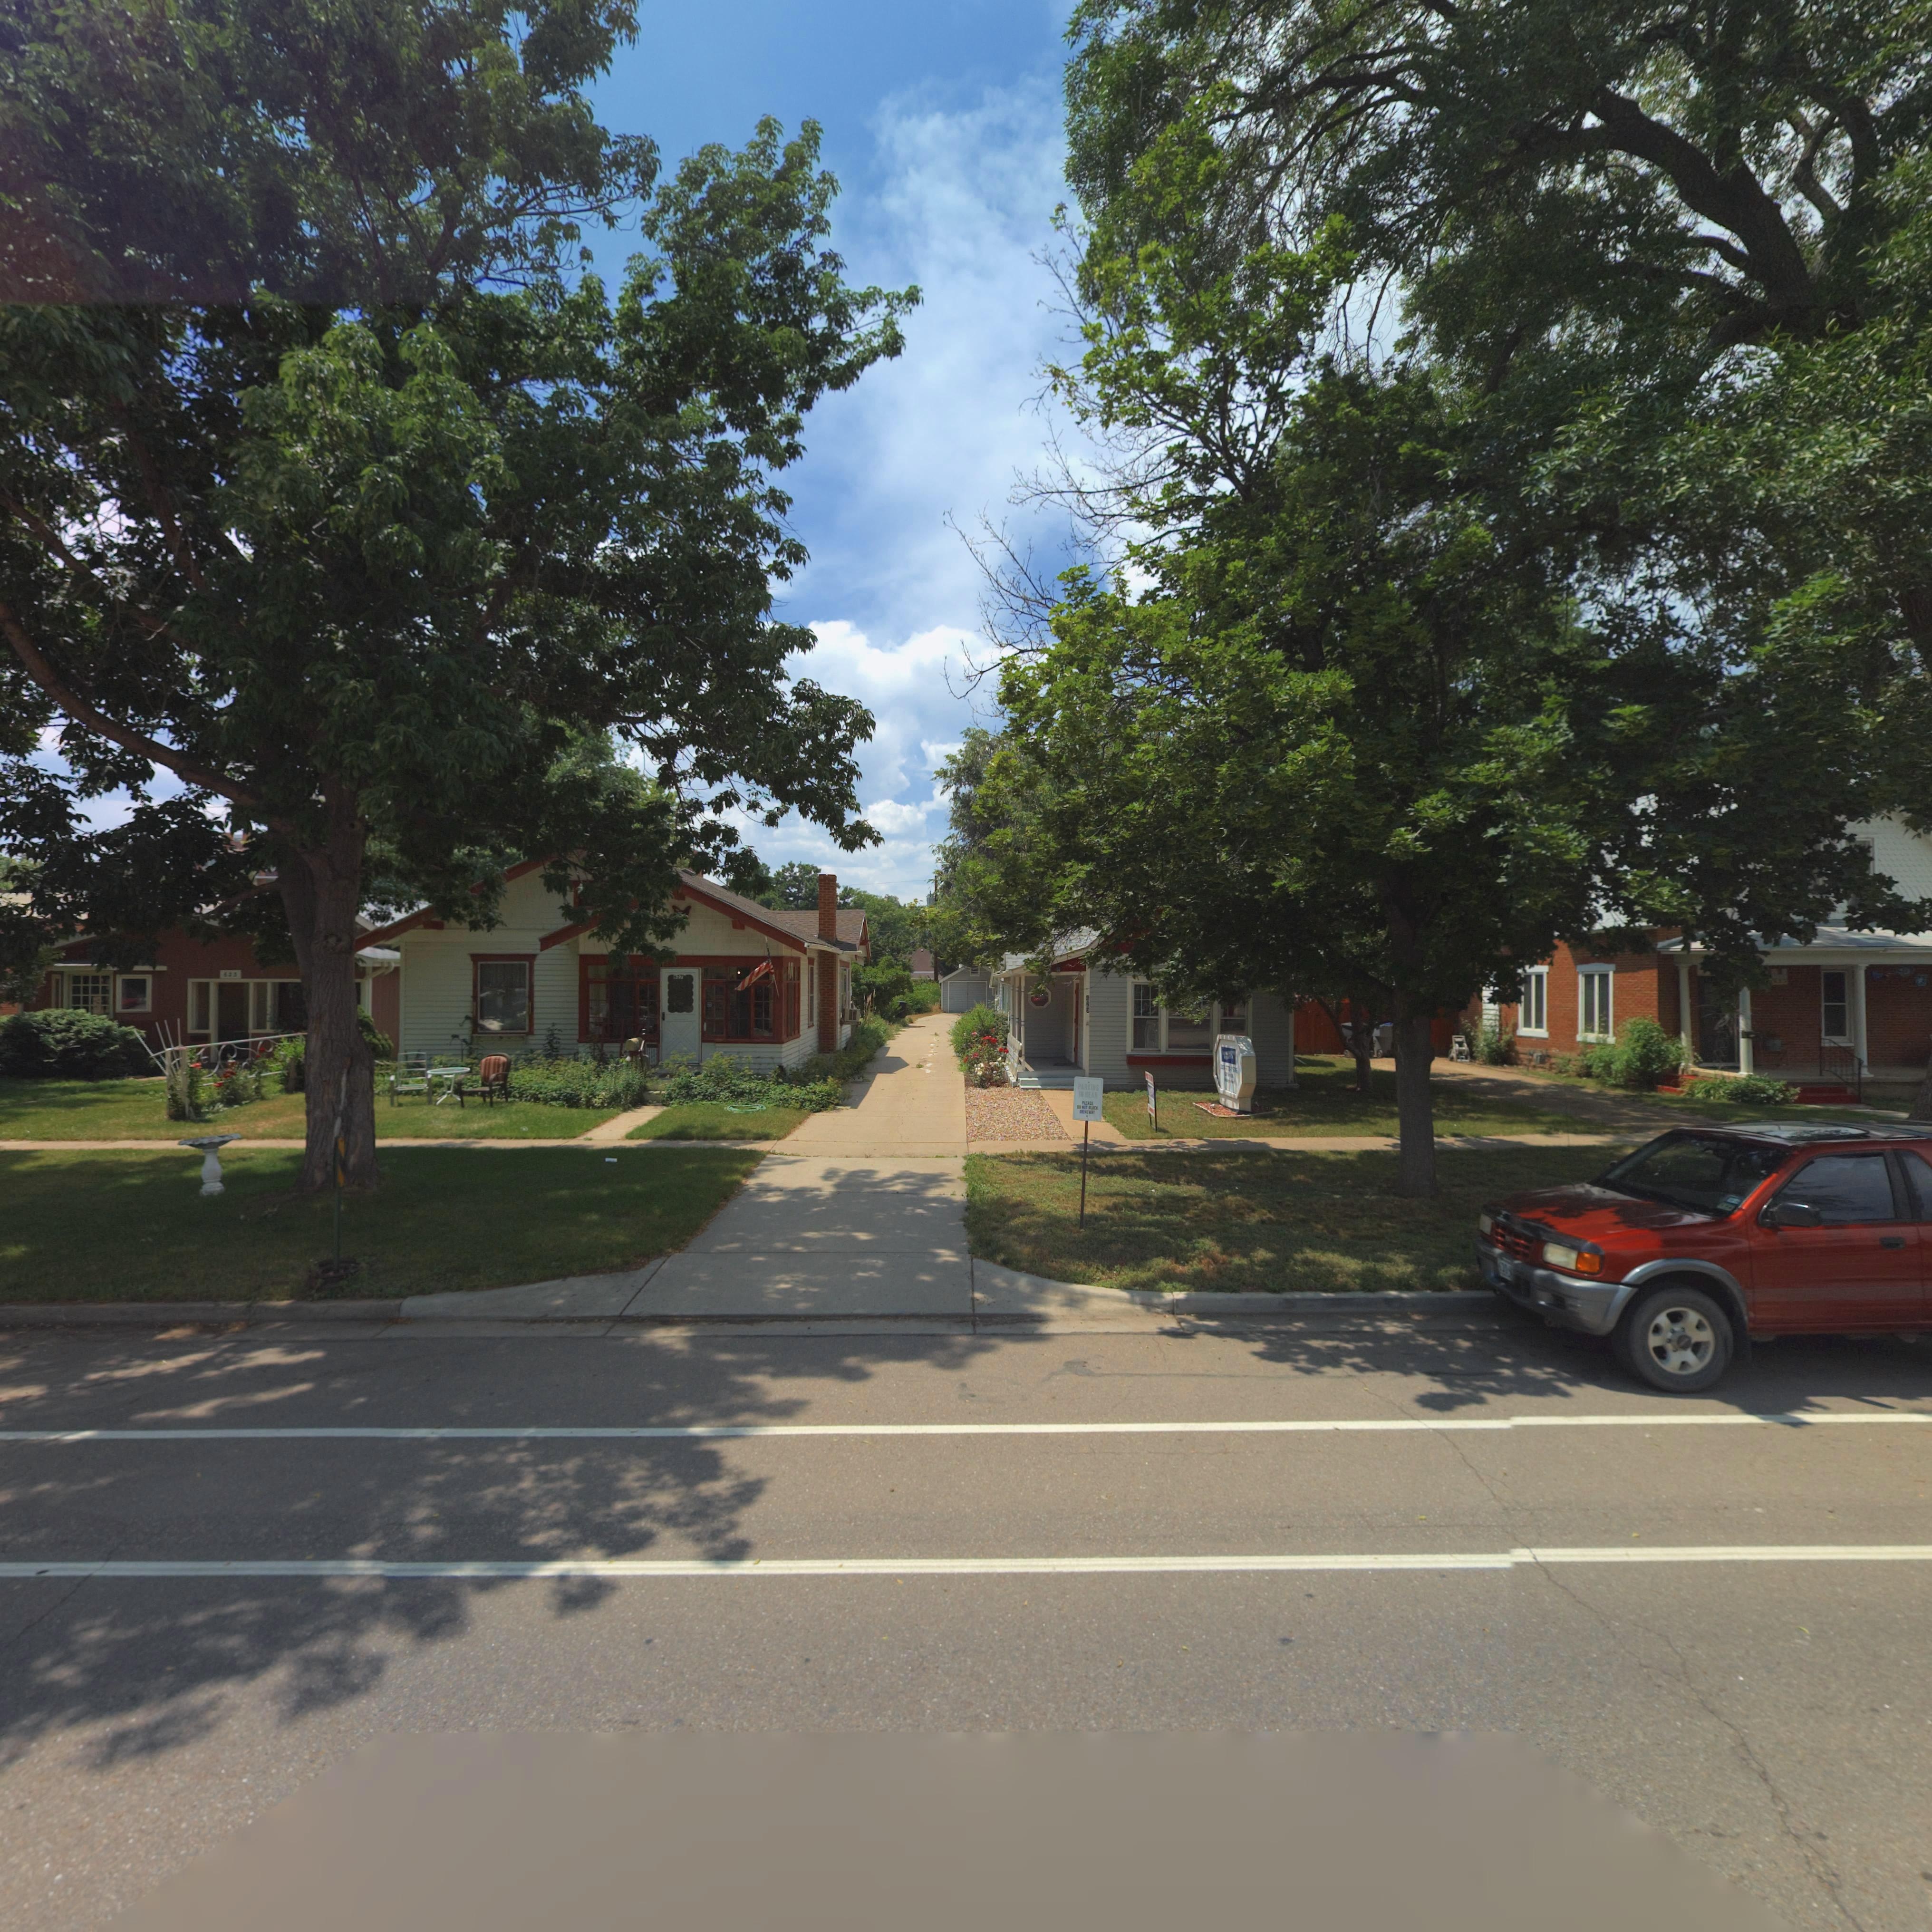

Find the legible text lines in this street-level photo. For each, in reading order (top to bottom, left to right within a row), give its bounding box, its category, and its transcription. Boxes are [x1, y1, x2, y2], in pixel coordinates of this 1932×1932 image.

[223, 971, 238, 977] StreetNumber: 625
[673, 974, 683, 978] StreetNumber: 627
[1086, 995, 1089, 1013] StreetNumber: 62*
[1221, 1050, 1235, 1055] BusinessName: LONGMONT
[1223, 1054, 1233, 1060] BusinessName: REALTY